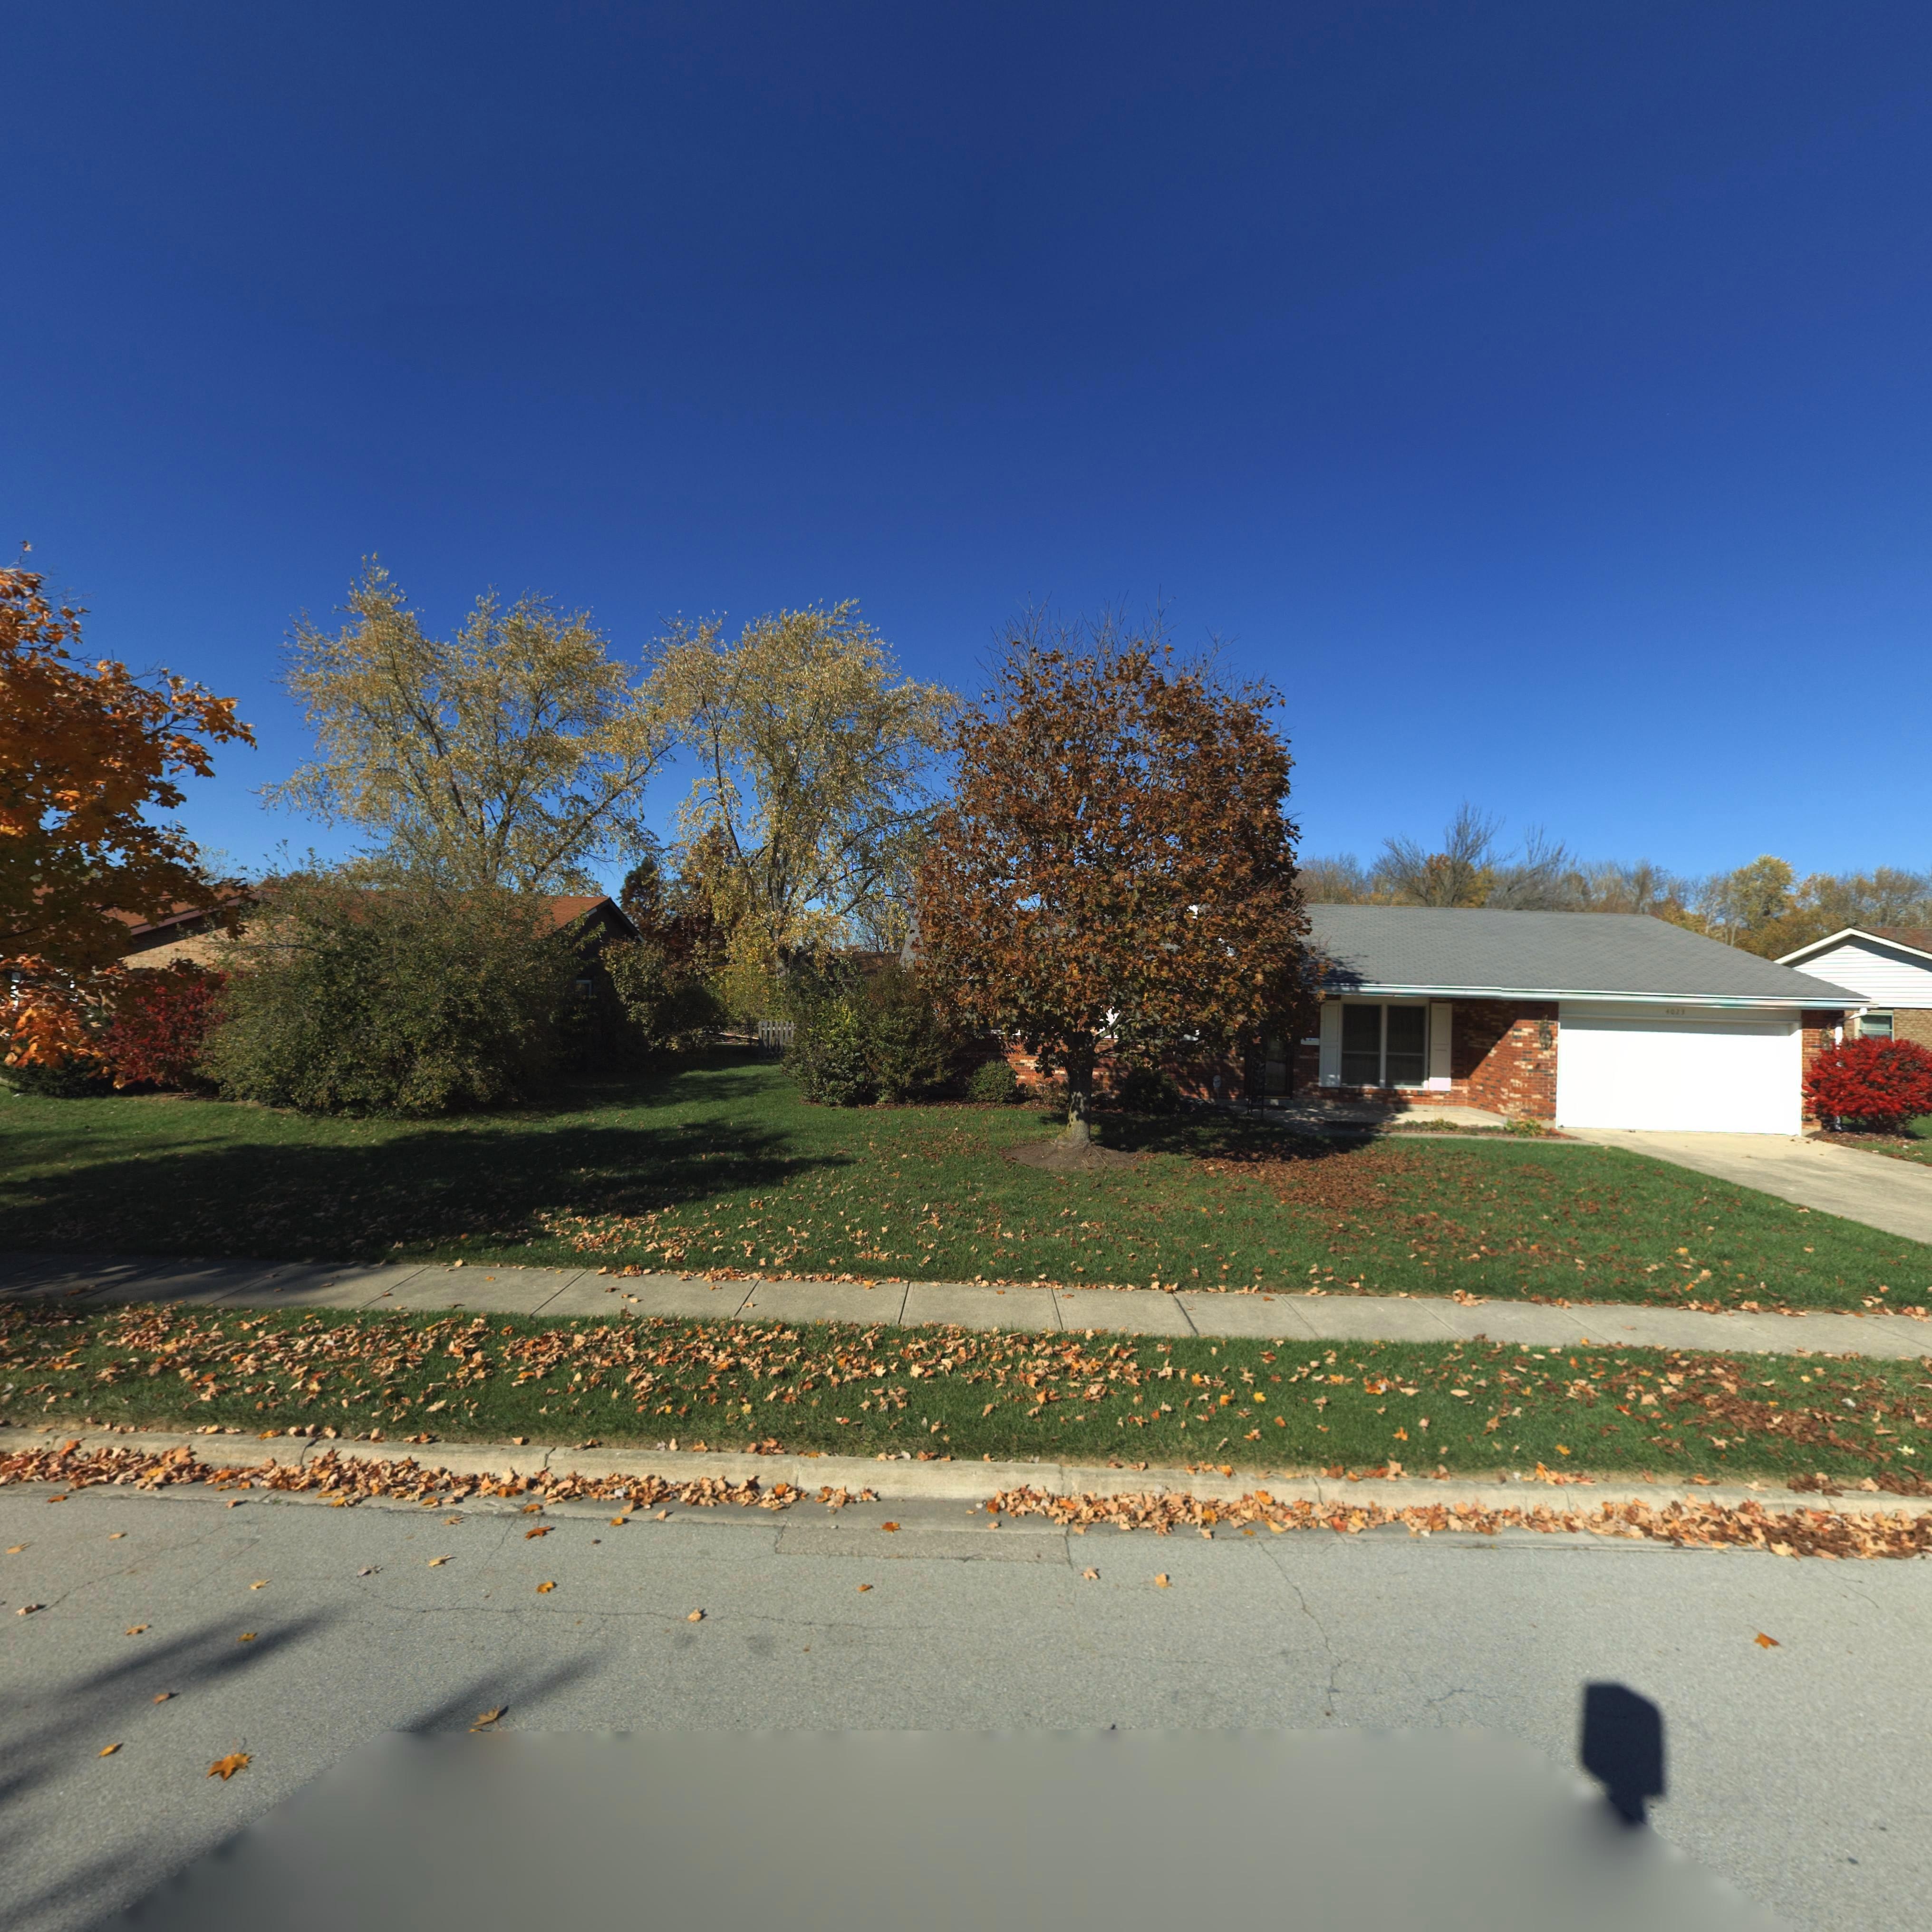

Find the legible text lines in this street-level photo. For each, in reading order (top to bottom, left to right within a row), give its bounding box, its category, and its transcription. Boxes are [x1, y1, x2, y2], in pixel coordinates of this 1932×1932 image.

[1665, 1007, 1685, 1015] StreetNumber: 4023